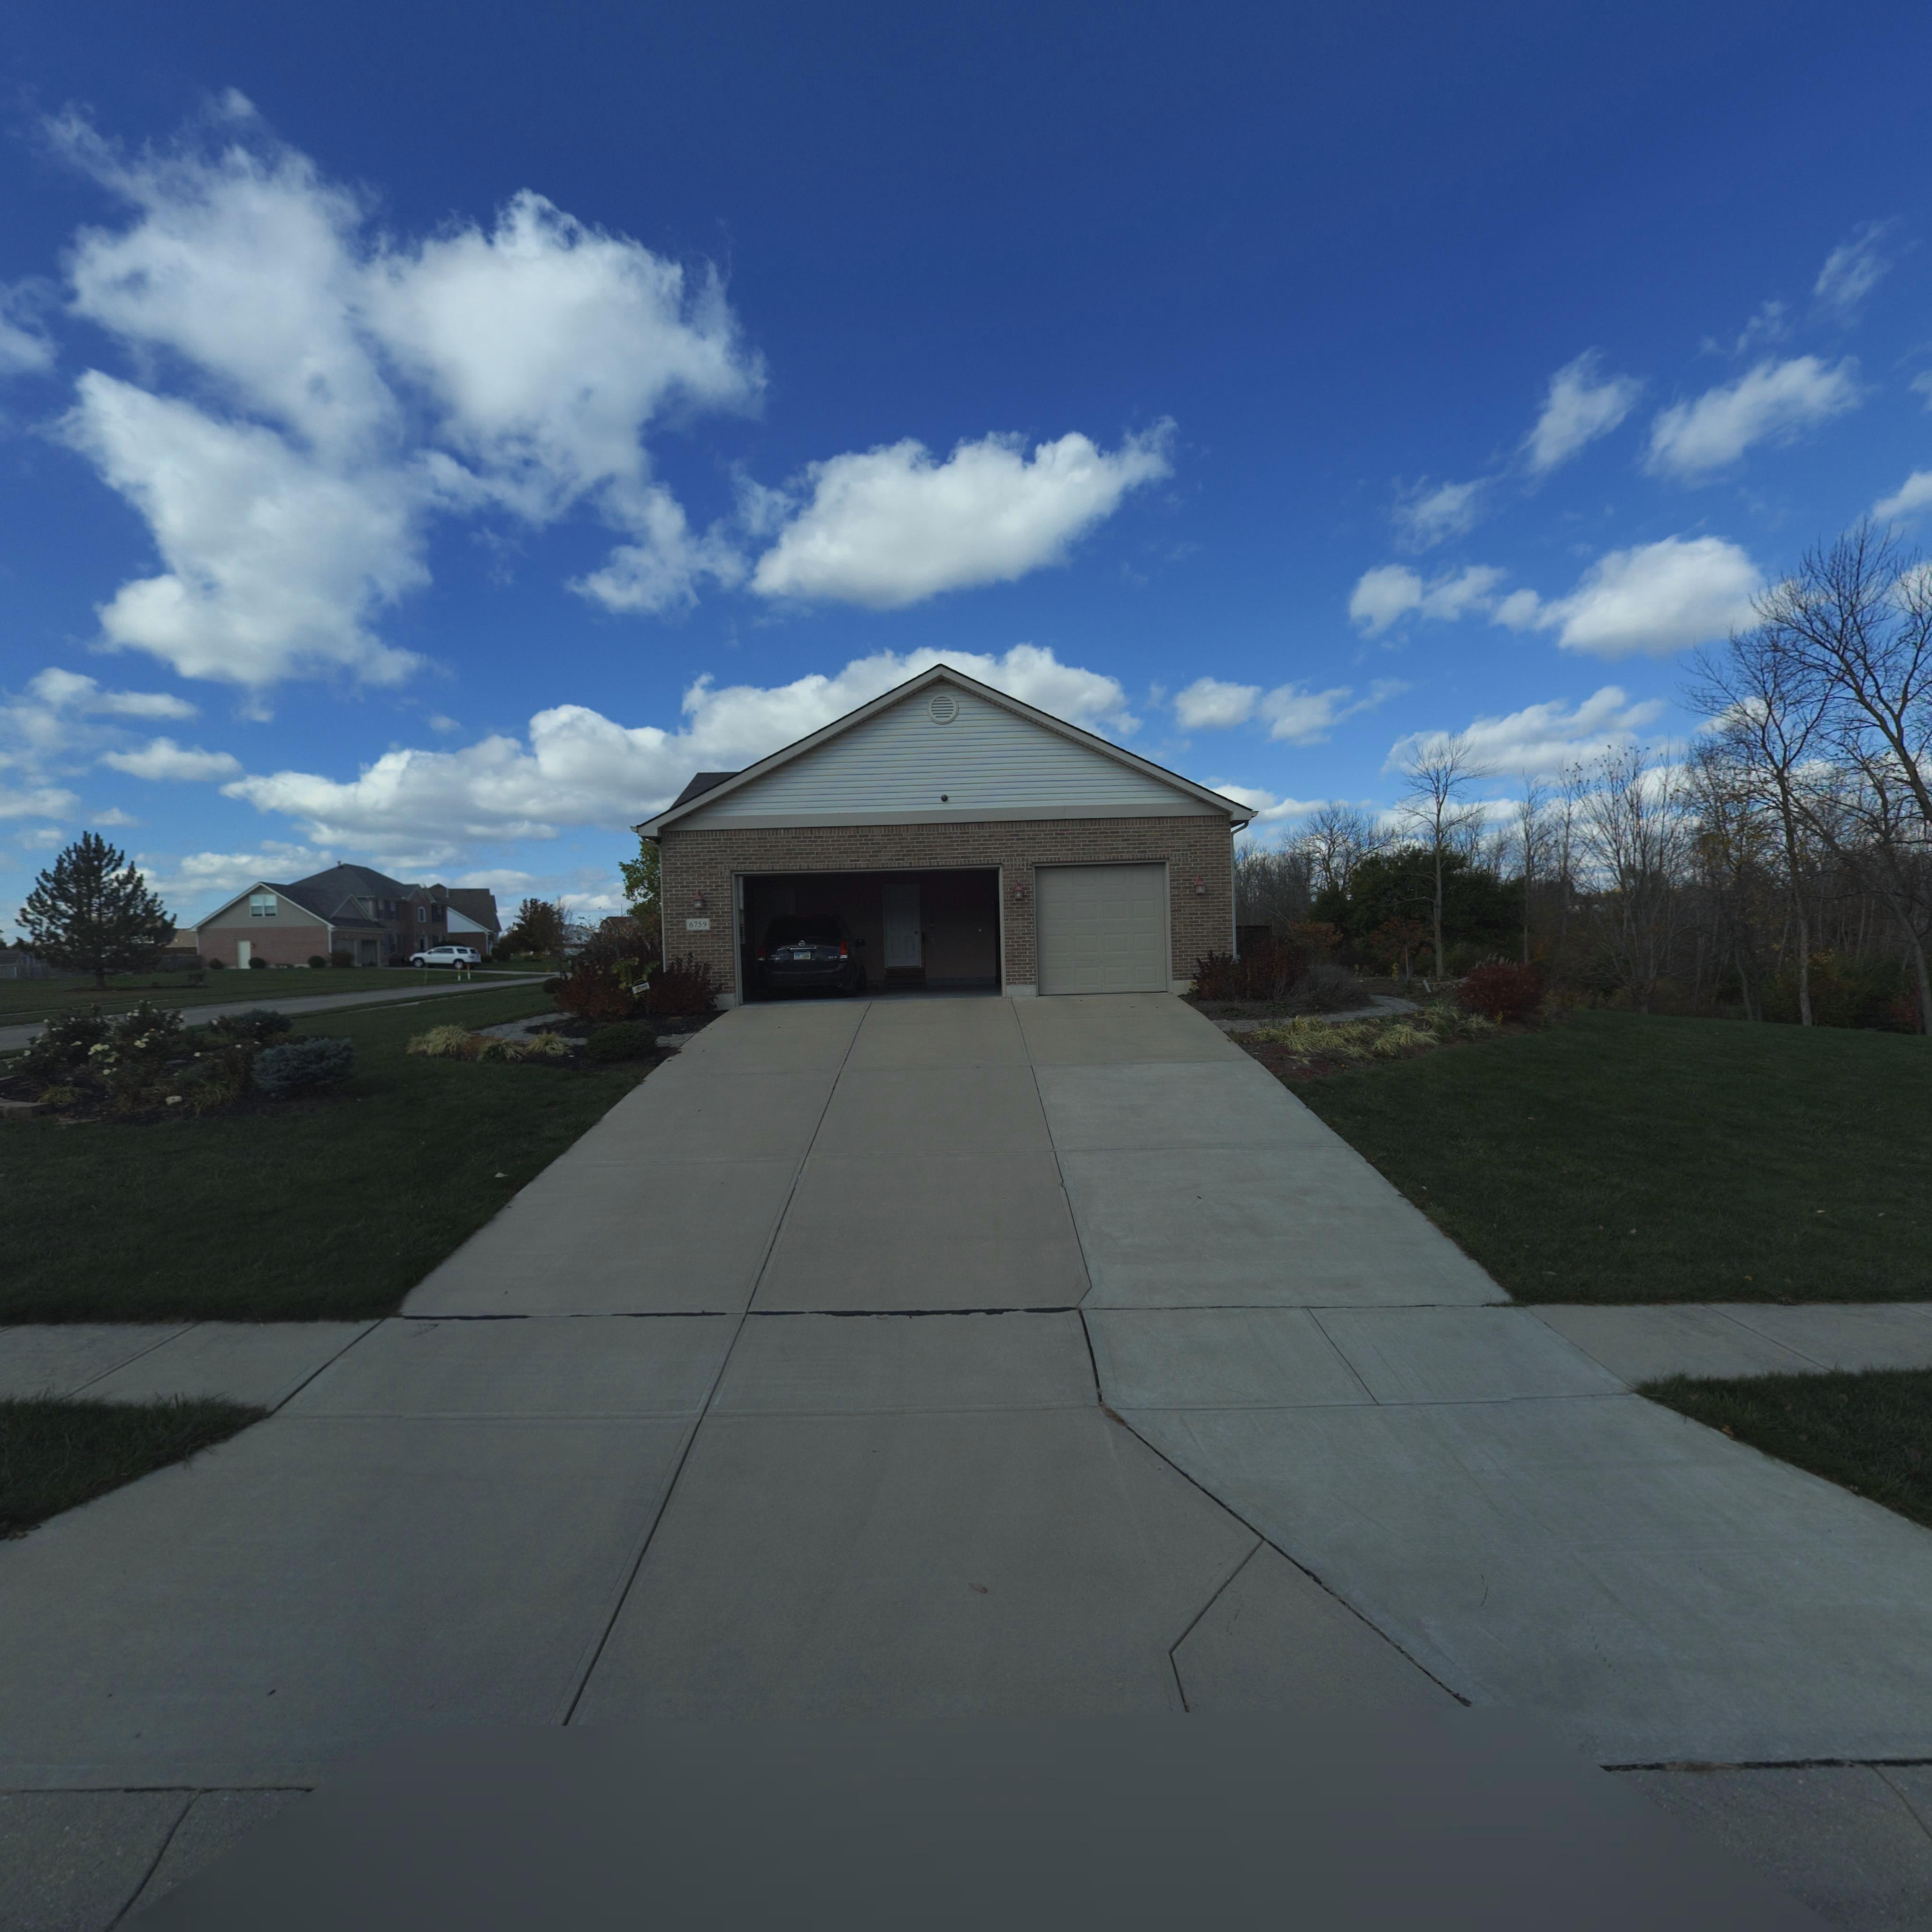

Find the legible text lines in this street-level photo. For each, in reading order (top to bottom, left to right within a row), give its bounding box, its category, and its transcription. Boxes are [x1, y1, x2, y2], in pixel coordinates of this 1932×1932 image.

[688, 920, 707, 928] StreetNumber: 6759